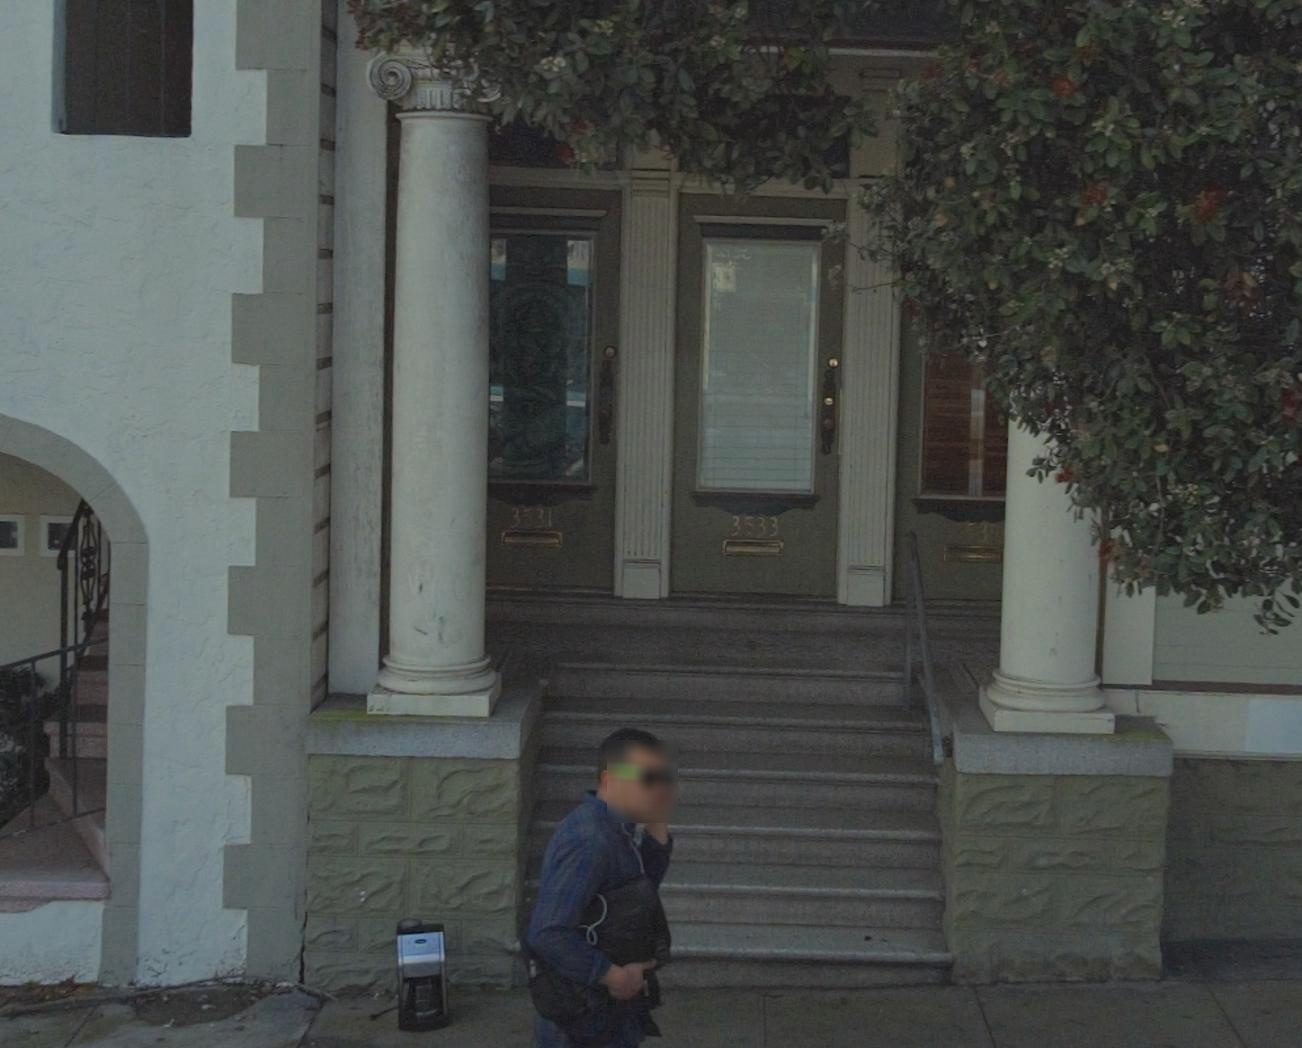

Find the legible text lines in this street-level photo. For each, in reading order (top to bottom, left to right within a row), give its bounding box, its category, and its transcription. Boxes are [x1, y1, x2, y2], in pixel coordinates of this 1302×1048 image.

[508, 506, 555, 530] StreetNumber: 3531
[730, 515, 779, 539] StreetNumber: 3533